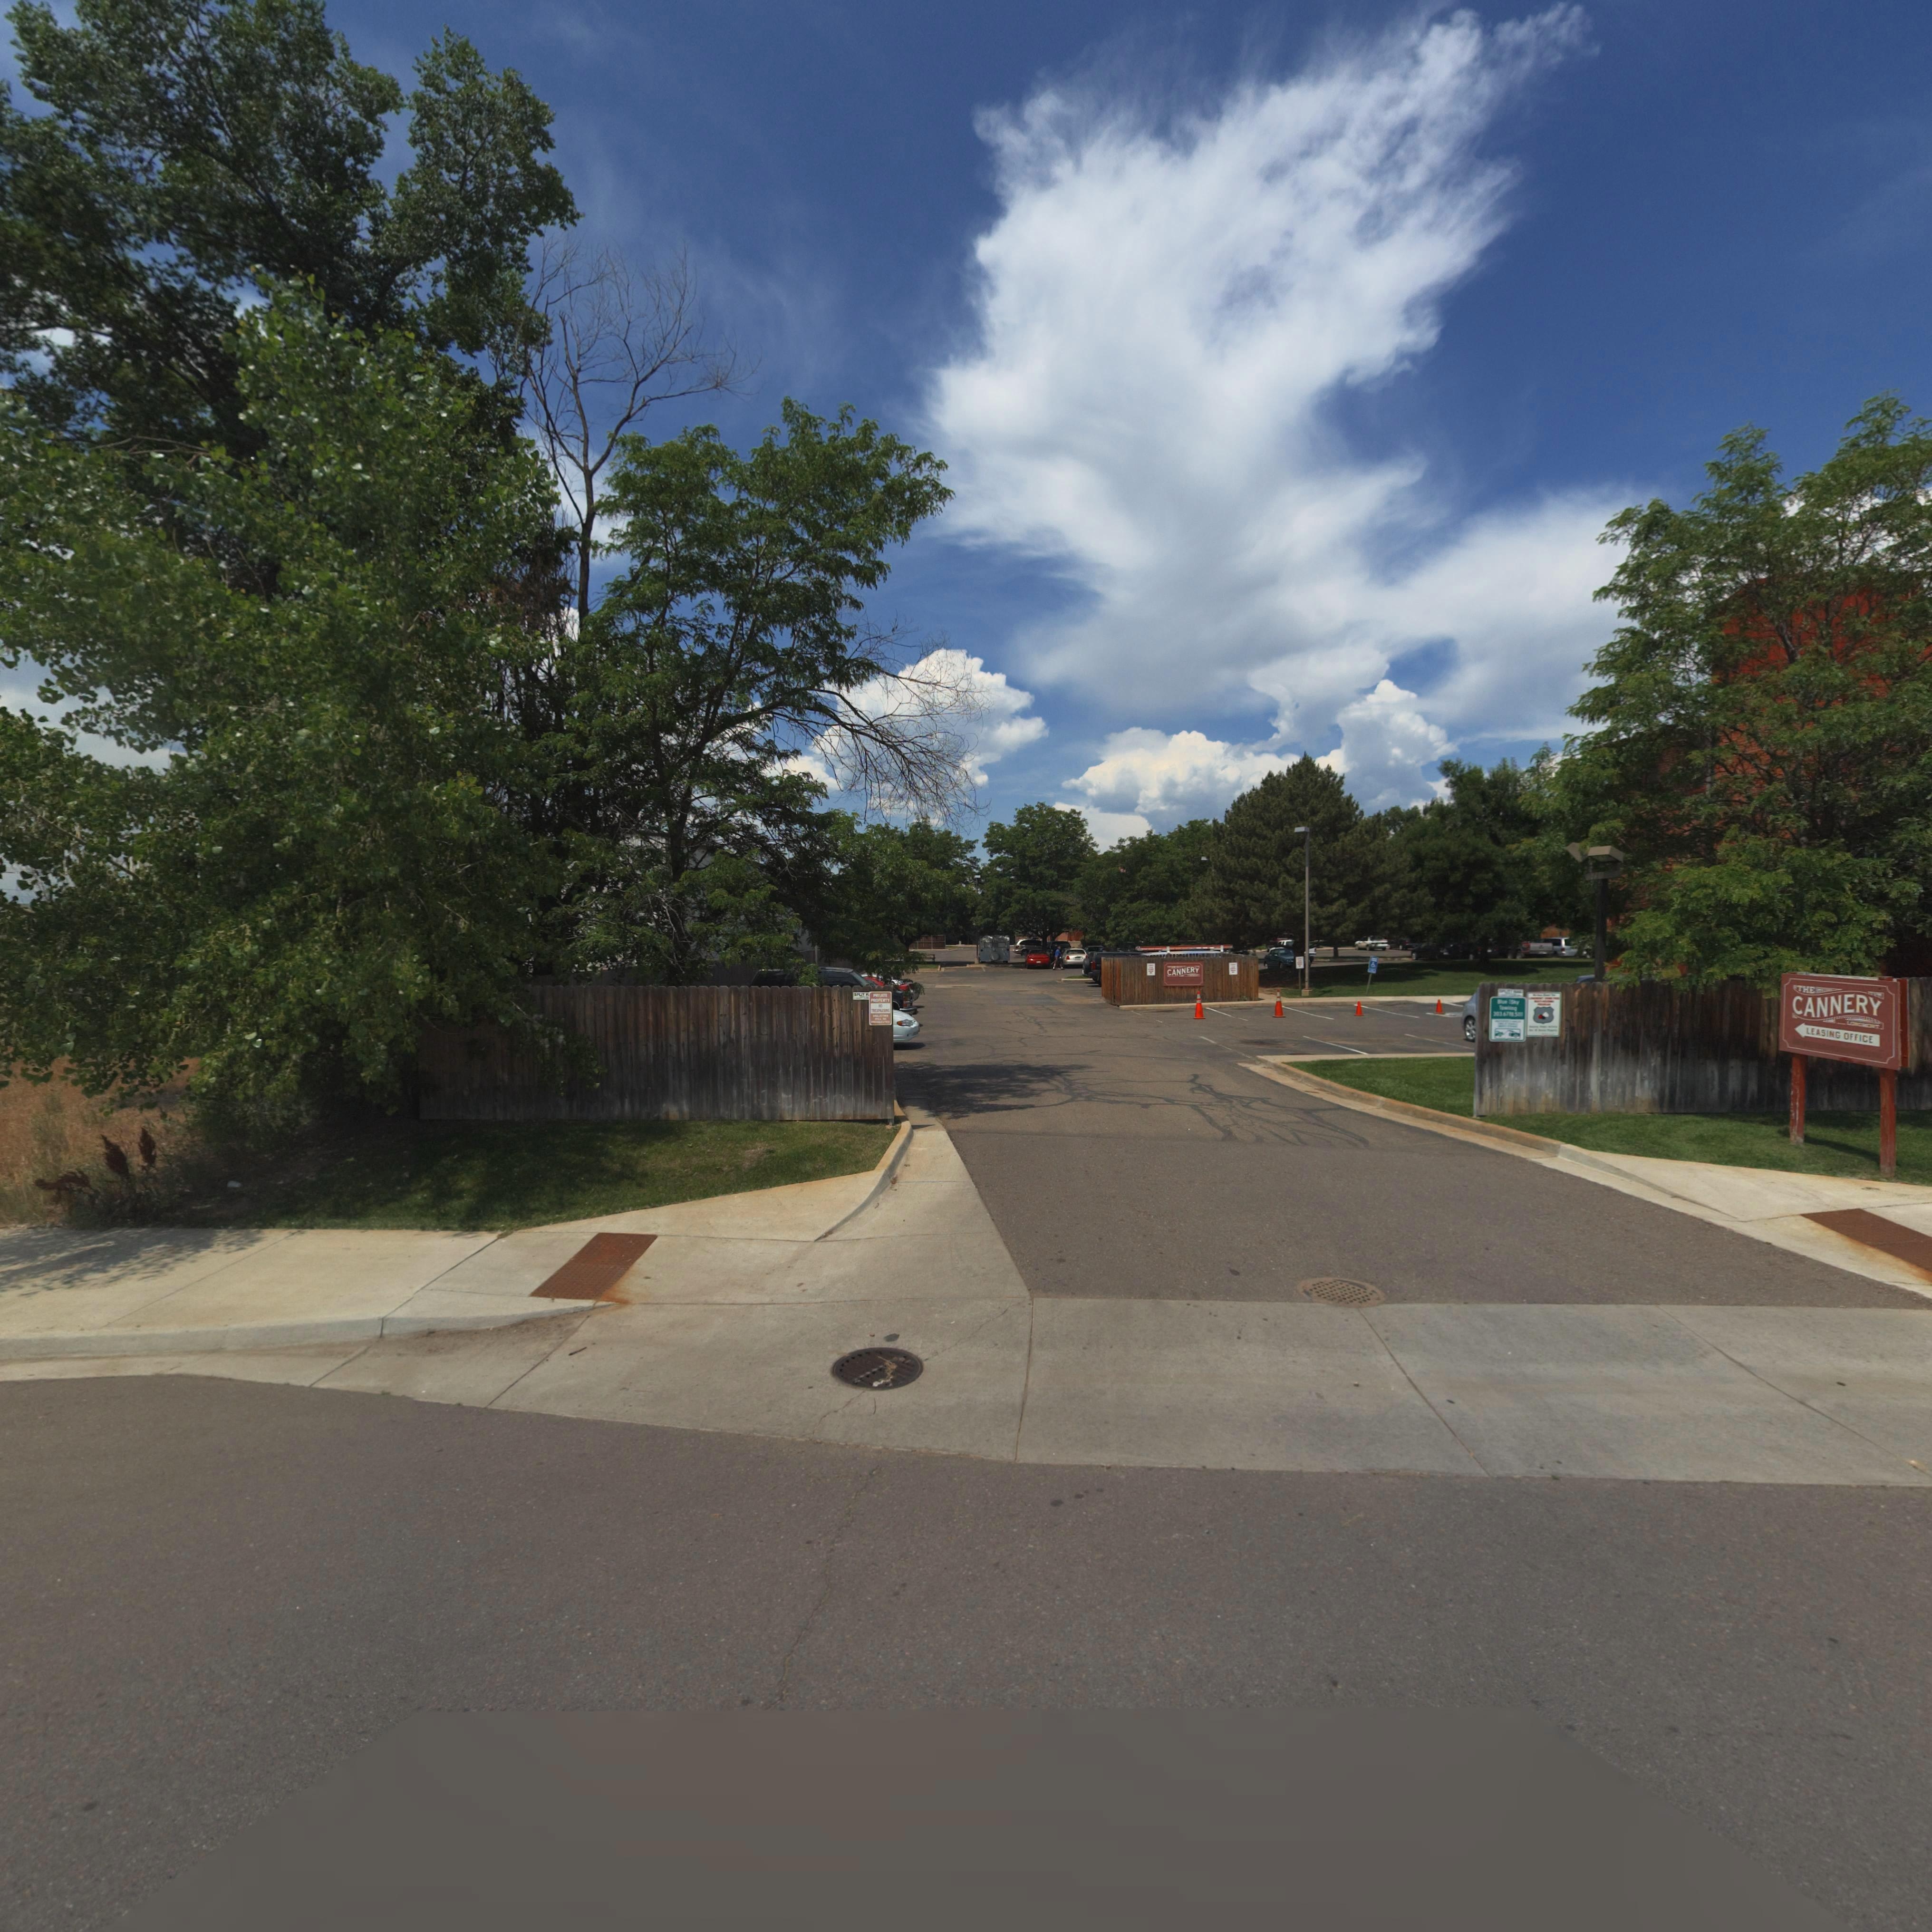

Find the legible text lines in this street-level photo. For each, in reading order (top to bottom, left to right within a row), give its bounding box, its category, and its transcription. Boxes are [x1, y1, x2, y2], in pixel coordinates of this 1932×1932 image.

[1169, 966, 1176, 969] BusinessName: THE
[1167, 966, 1199, 976] BusinessName: CANNERY
[1797, 985, 1816, 994] BusinessName: THE
[1792, 993, 1883, 1018] BusinessName: CANNERY